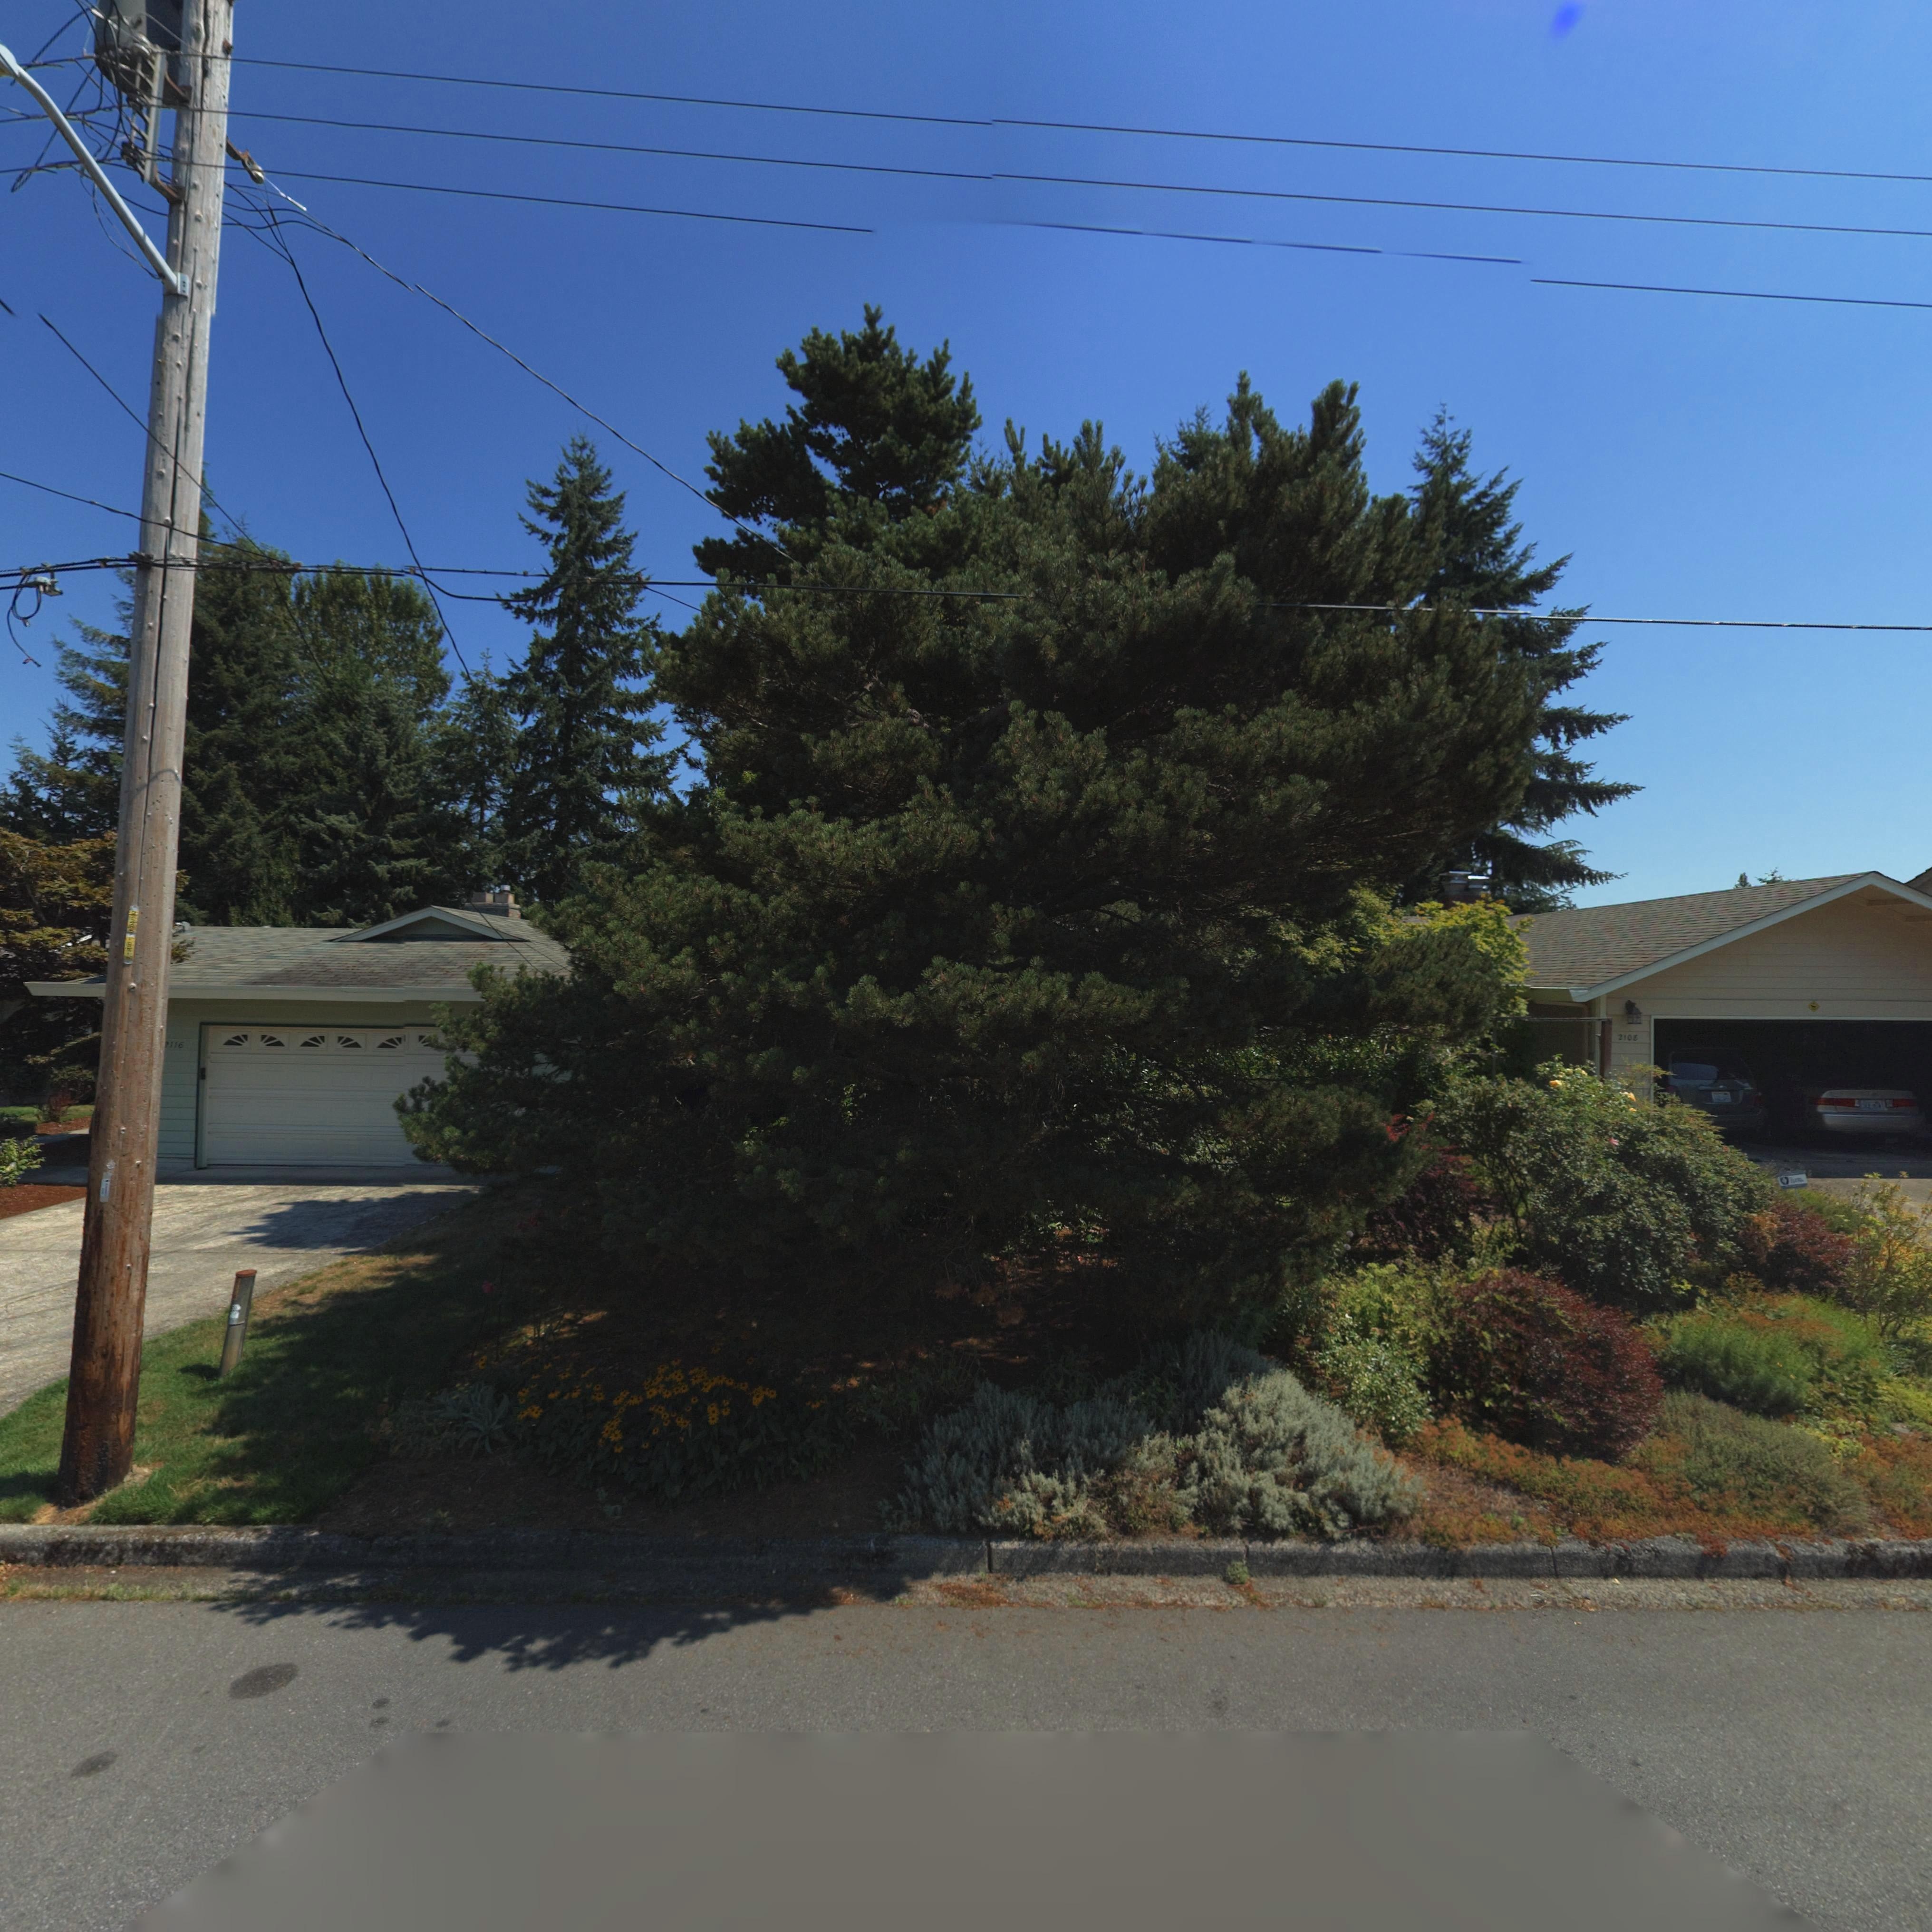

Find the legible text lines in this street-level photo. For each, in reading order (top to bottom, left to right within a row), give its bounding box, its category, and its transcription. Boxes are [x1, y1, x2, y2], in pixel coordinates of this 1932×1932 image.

[1617, 1033, 1639, 1041] StreetNumber: 210*
[165, 1040, 185, 1049] StreetNumber: *116